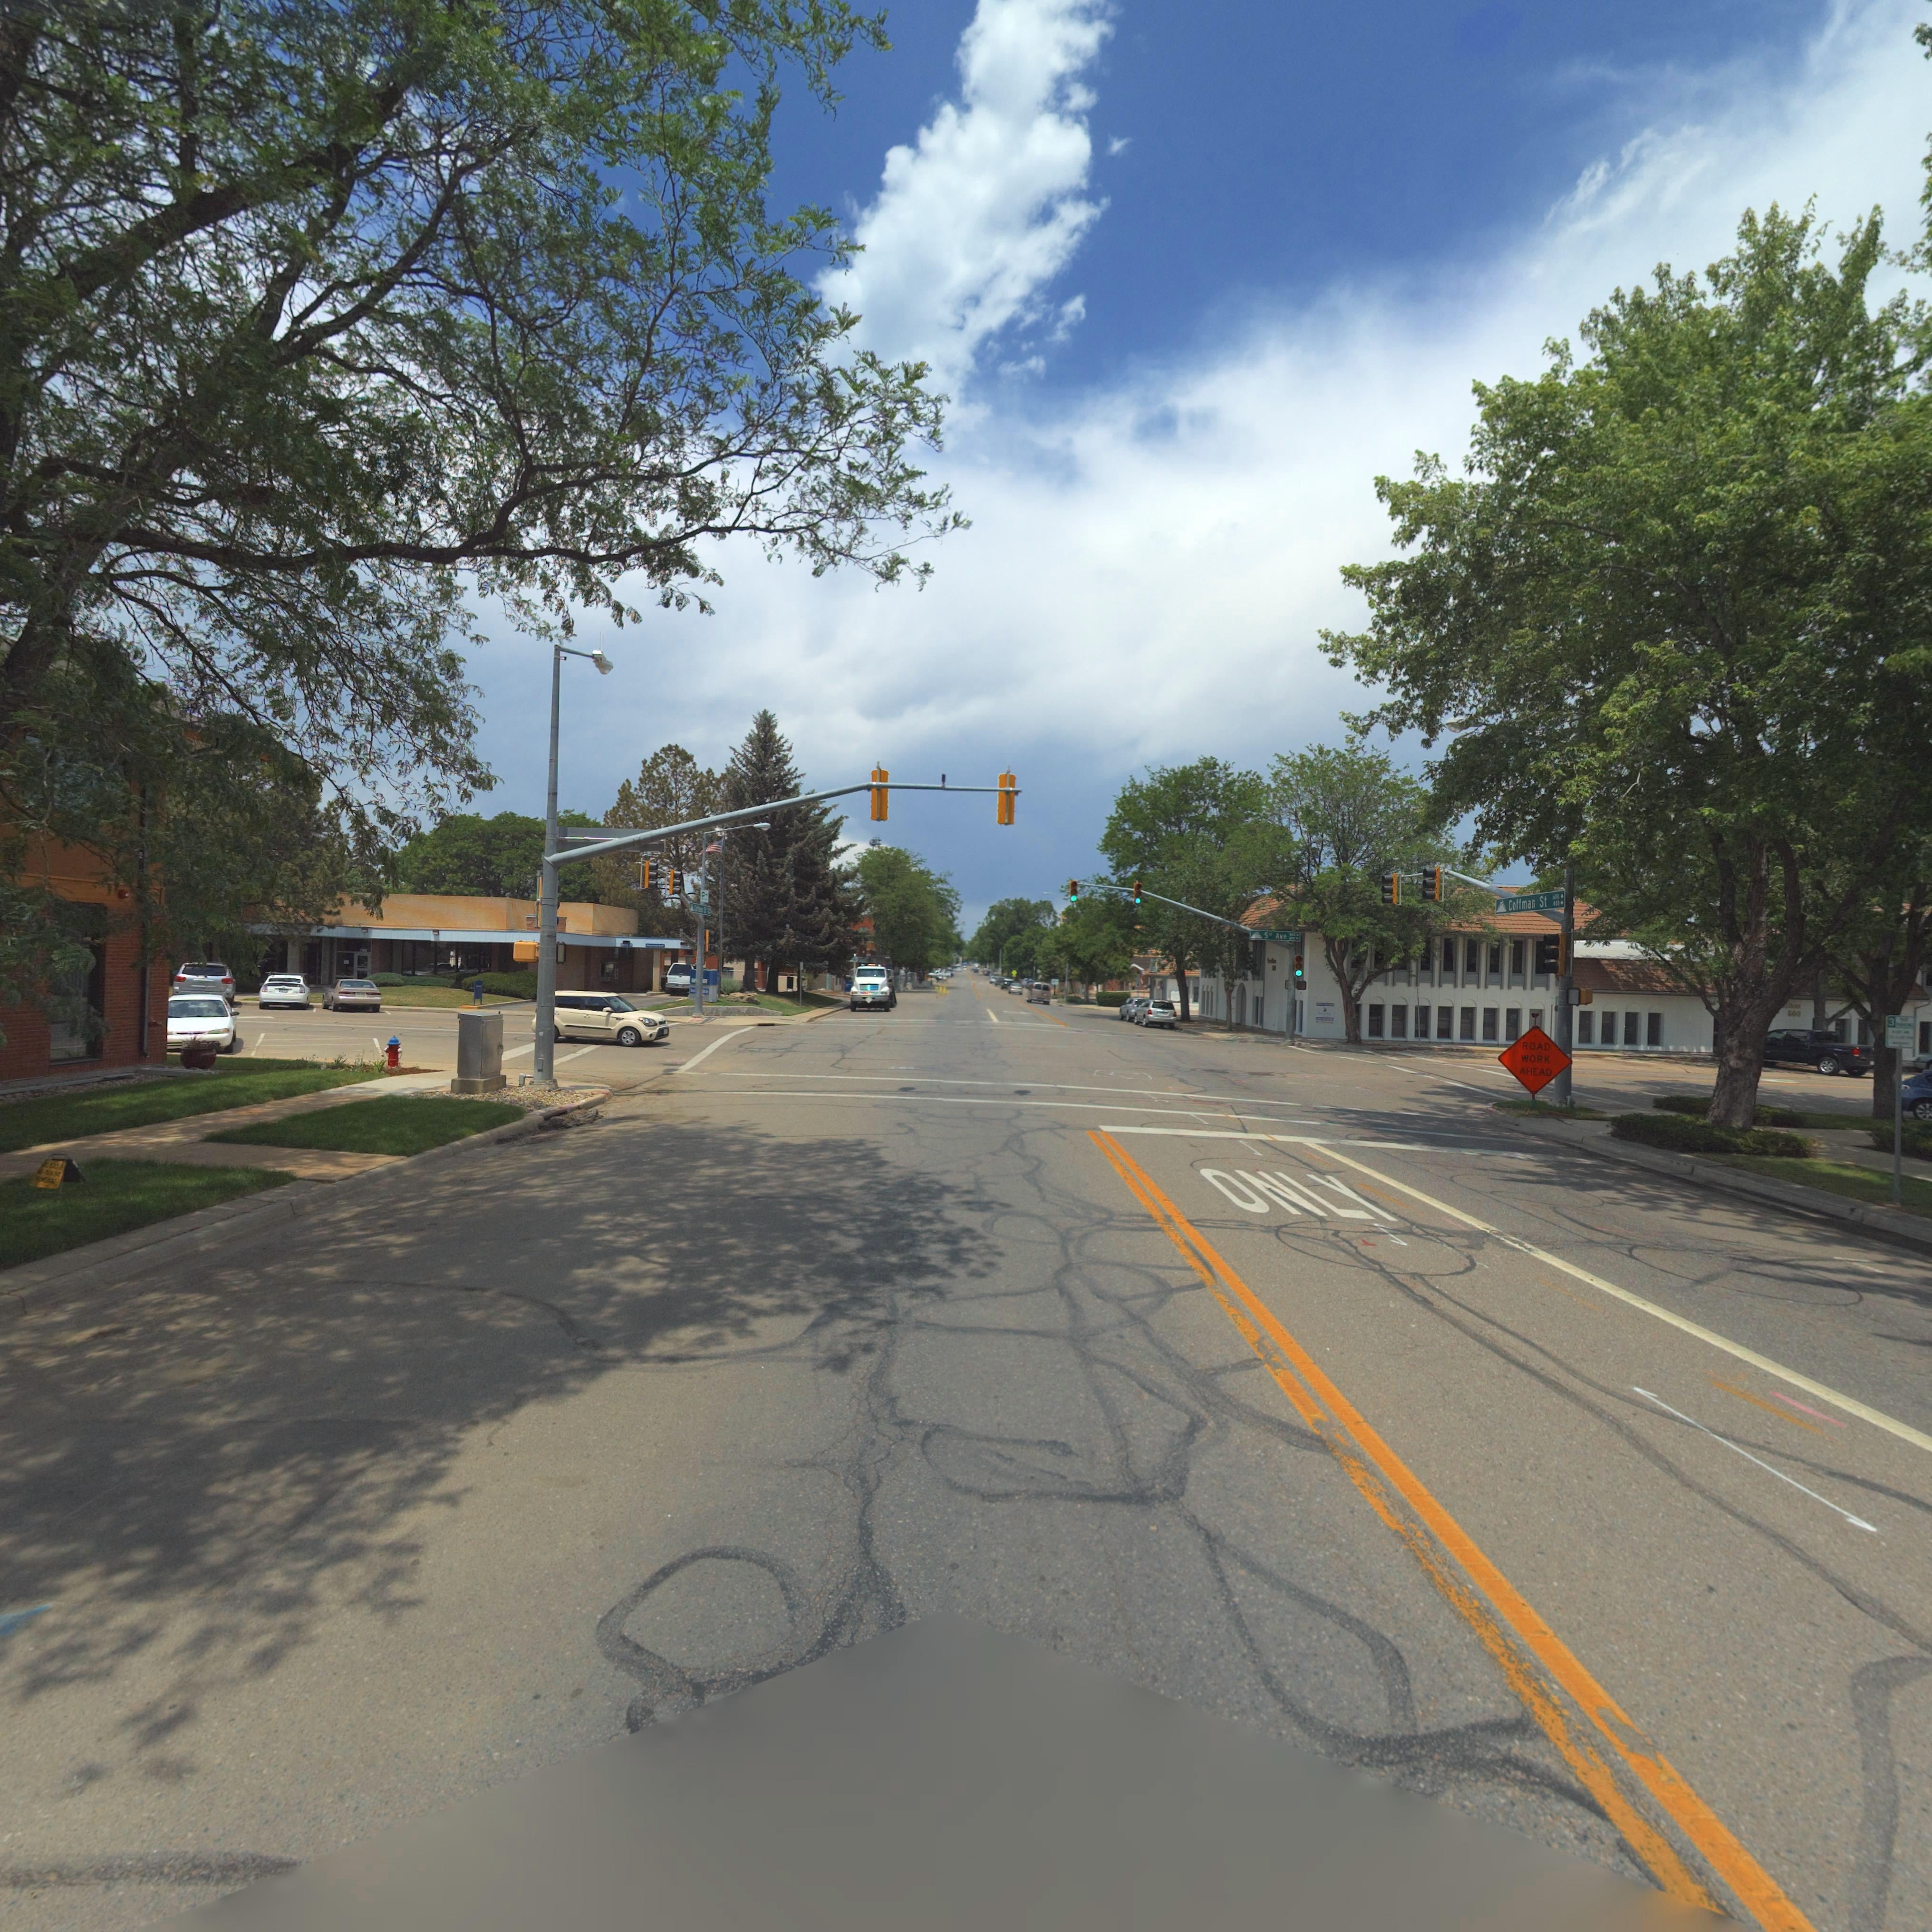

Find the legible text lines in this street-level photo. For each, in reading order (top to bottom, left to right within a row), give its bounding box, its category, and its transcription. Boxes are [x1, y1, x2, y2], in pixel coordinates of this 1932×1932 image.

[1552, 893, 1560, 899] StreetNumberRange: 60*
[1508, 895, 1547, 911] StreetName: Coffman St
[1552, 900, 1560, 907] StreetNumberRange: 4**
[1264, 932, 1287, 939] StreetName: 5** Ave
[1289, 937, 1299, 939] StreetNumberRange: *00->
[1787, 1010, 1801, 1016] StreetNumber: *00